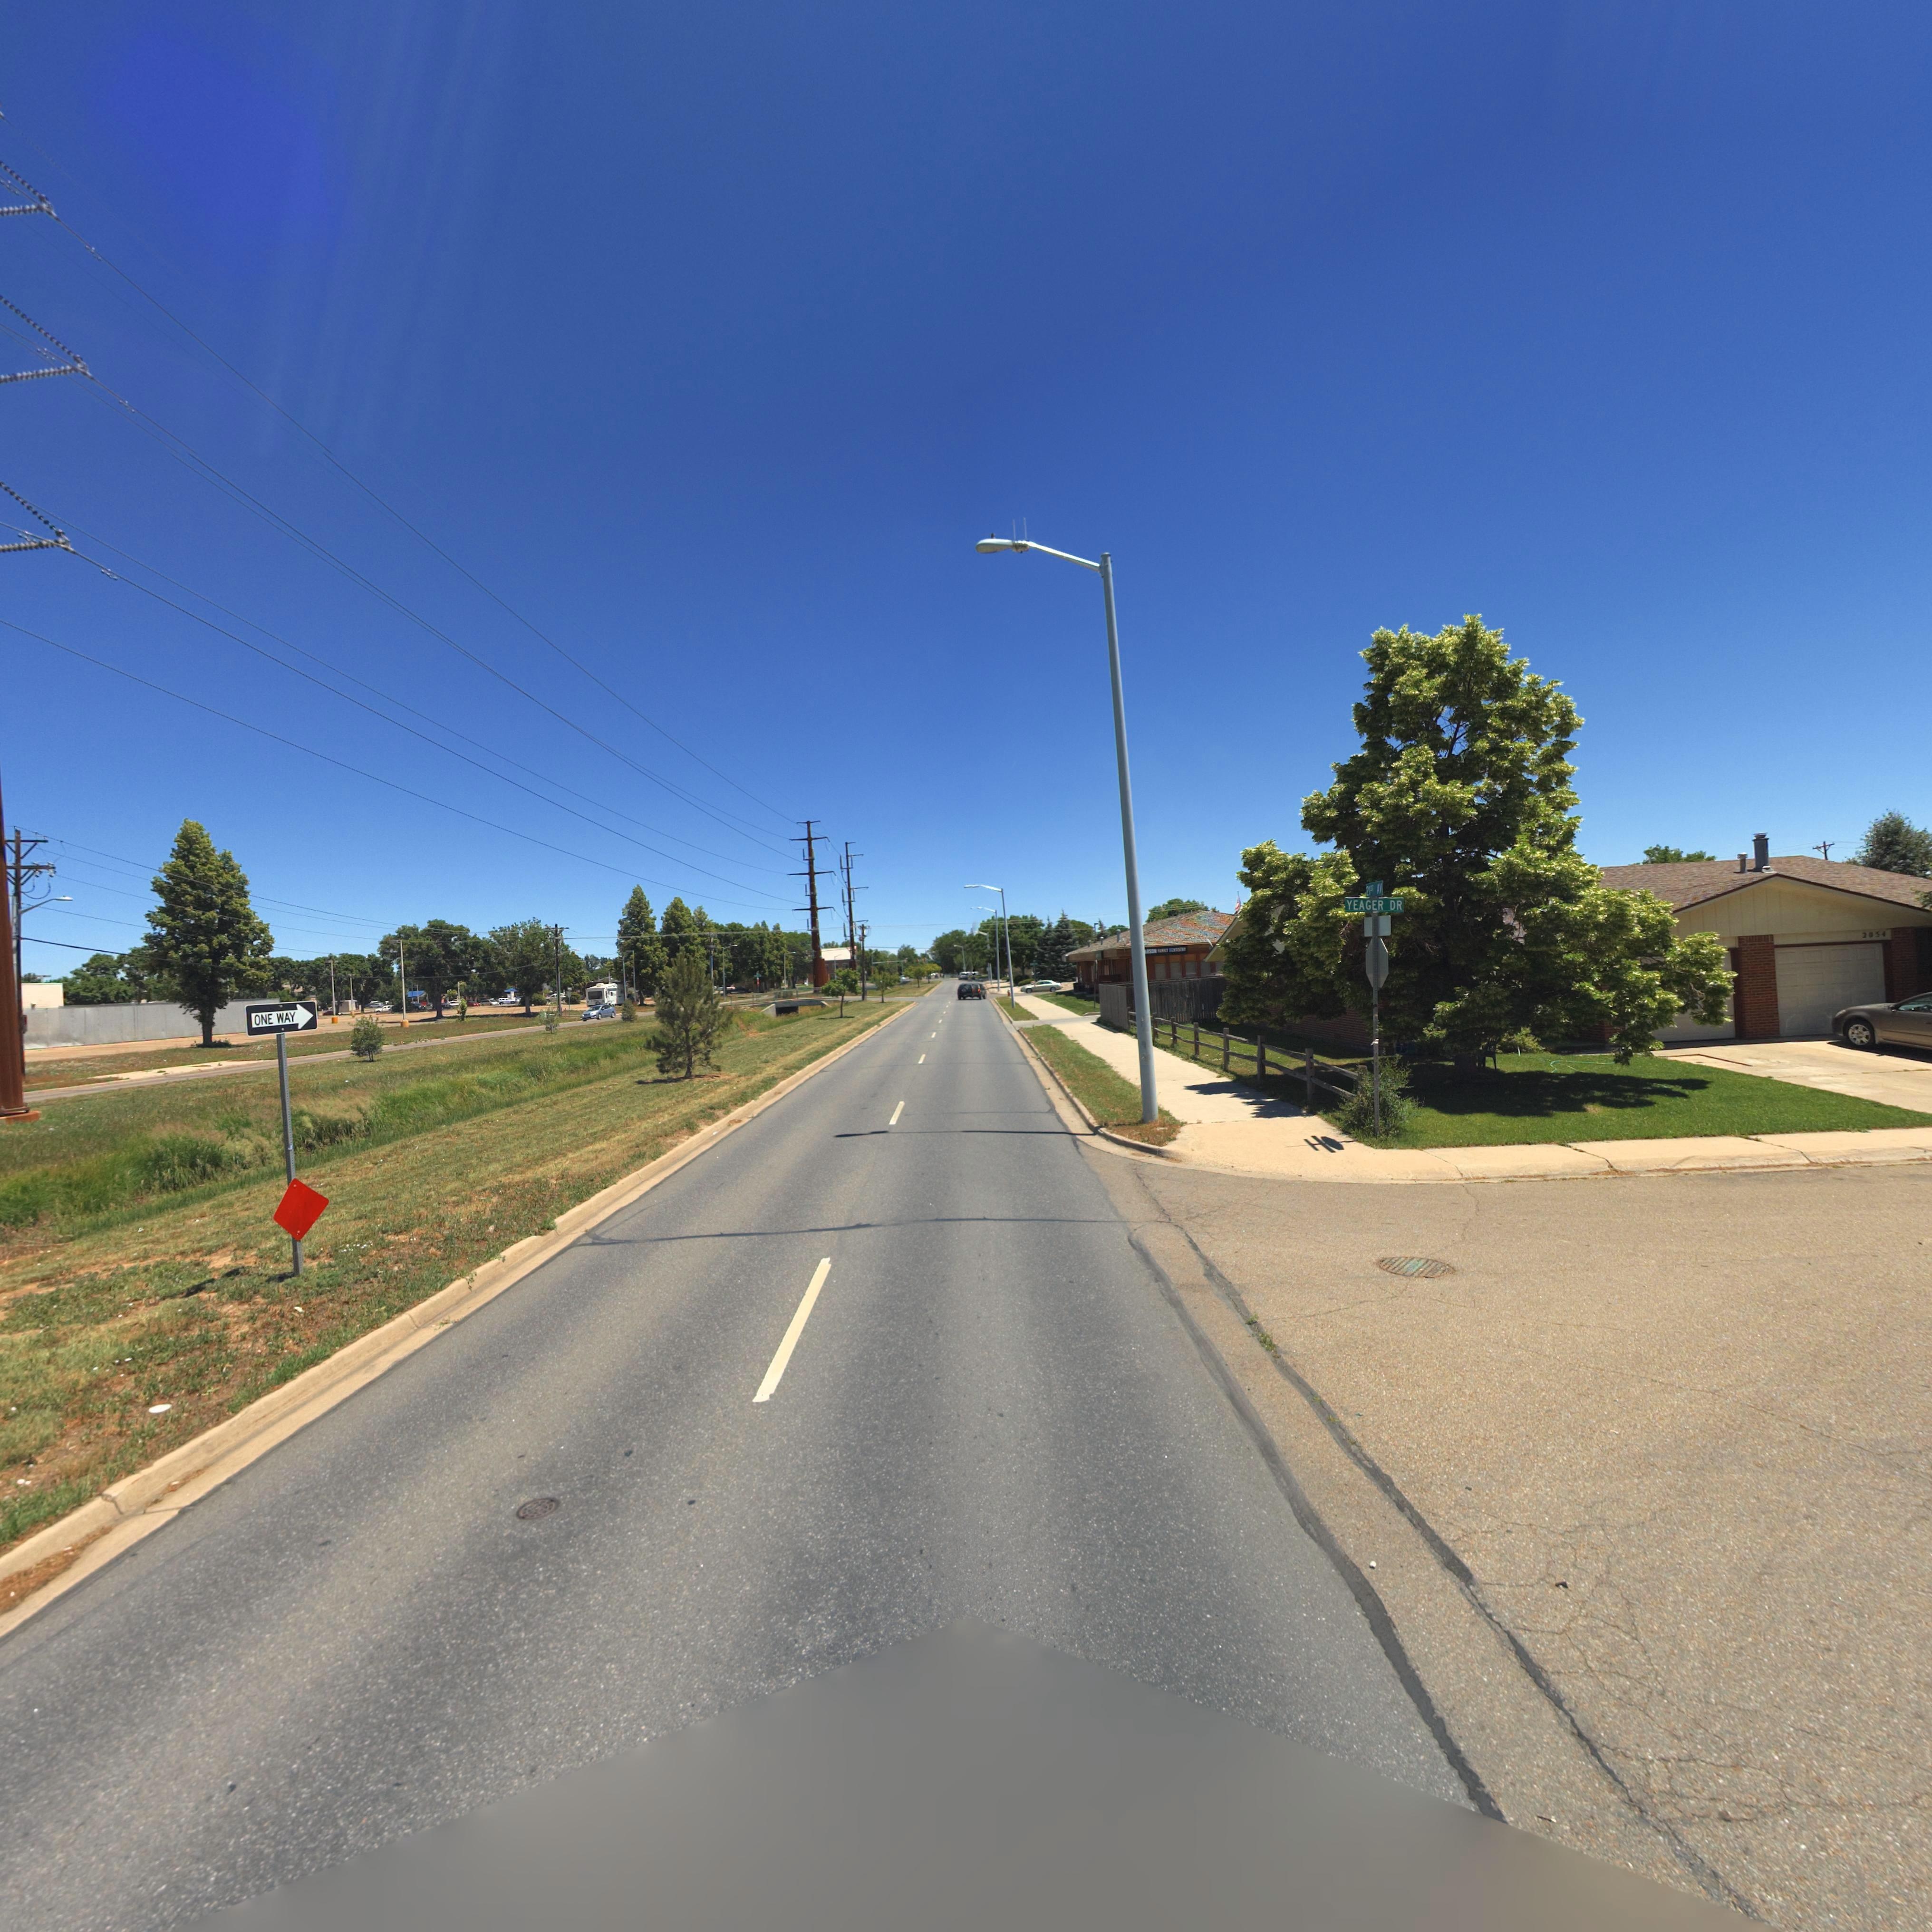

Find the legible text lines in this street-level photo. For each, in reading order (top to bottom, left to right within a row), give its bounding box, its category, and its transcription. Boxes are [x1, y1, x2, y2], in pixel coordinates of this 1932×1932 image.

[1366, 882, 1382, 897] StreetName: 21ST AV
[1346, 899, 1403, 910] StreetName: YEAGER DR